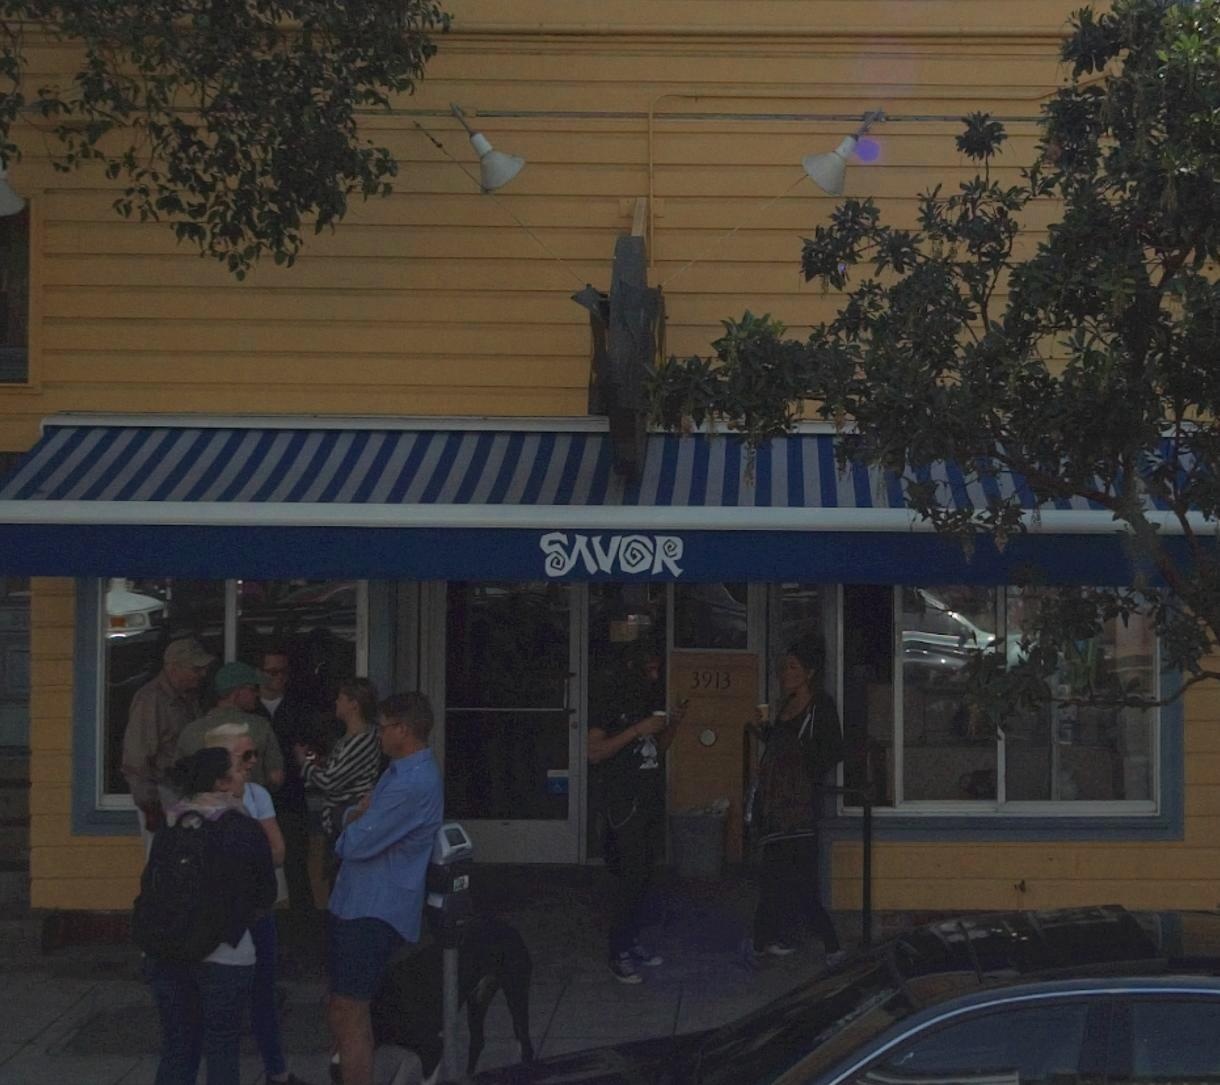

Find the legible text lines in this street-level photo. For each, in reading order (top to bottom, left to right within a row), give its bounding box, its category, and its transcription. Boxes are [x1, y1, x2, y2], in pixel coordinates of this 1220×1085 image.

[539, 530, 685, 579] BusinessName: SAVOR
[688, 669, 733, 691] StreetNumber: 3913